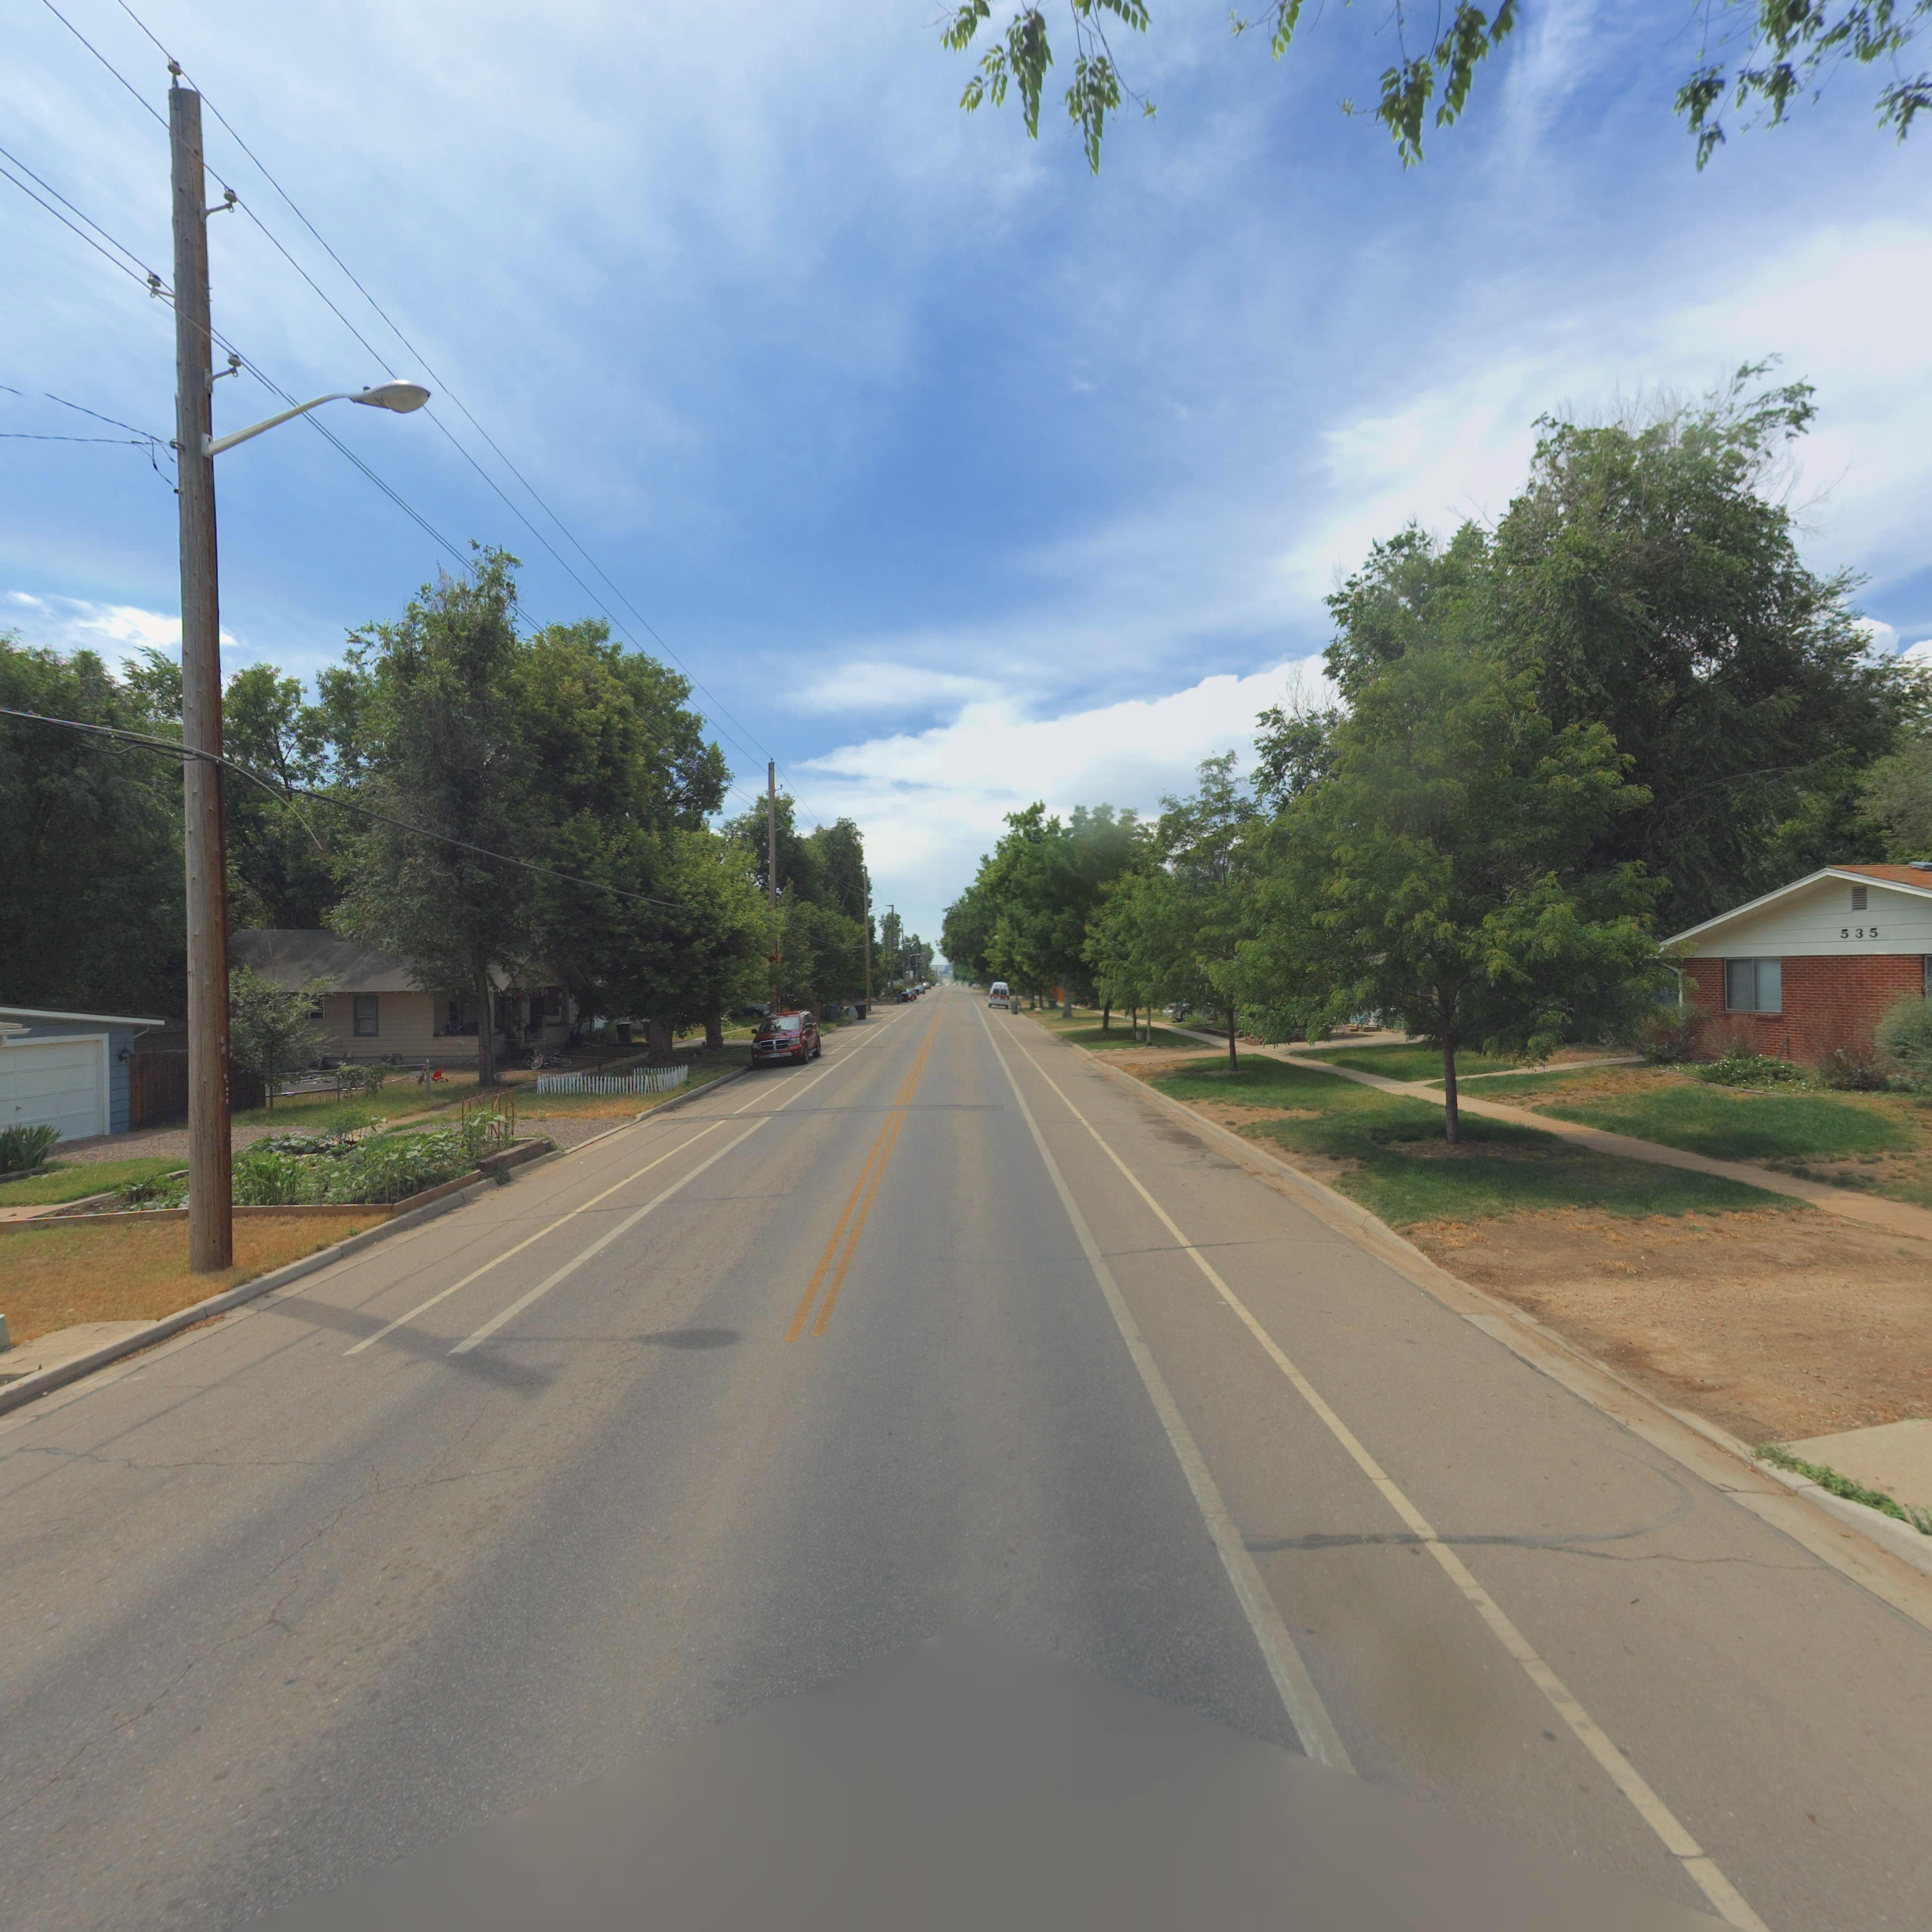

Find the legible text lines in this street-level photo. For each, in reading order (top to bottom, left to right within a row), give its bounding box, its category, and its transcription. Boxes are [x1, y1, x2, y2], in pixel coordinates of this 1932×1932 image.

[1840, 927, 1878, 938] StreetNumber: 535